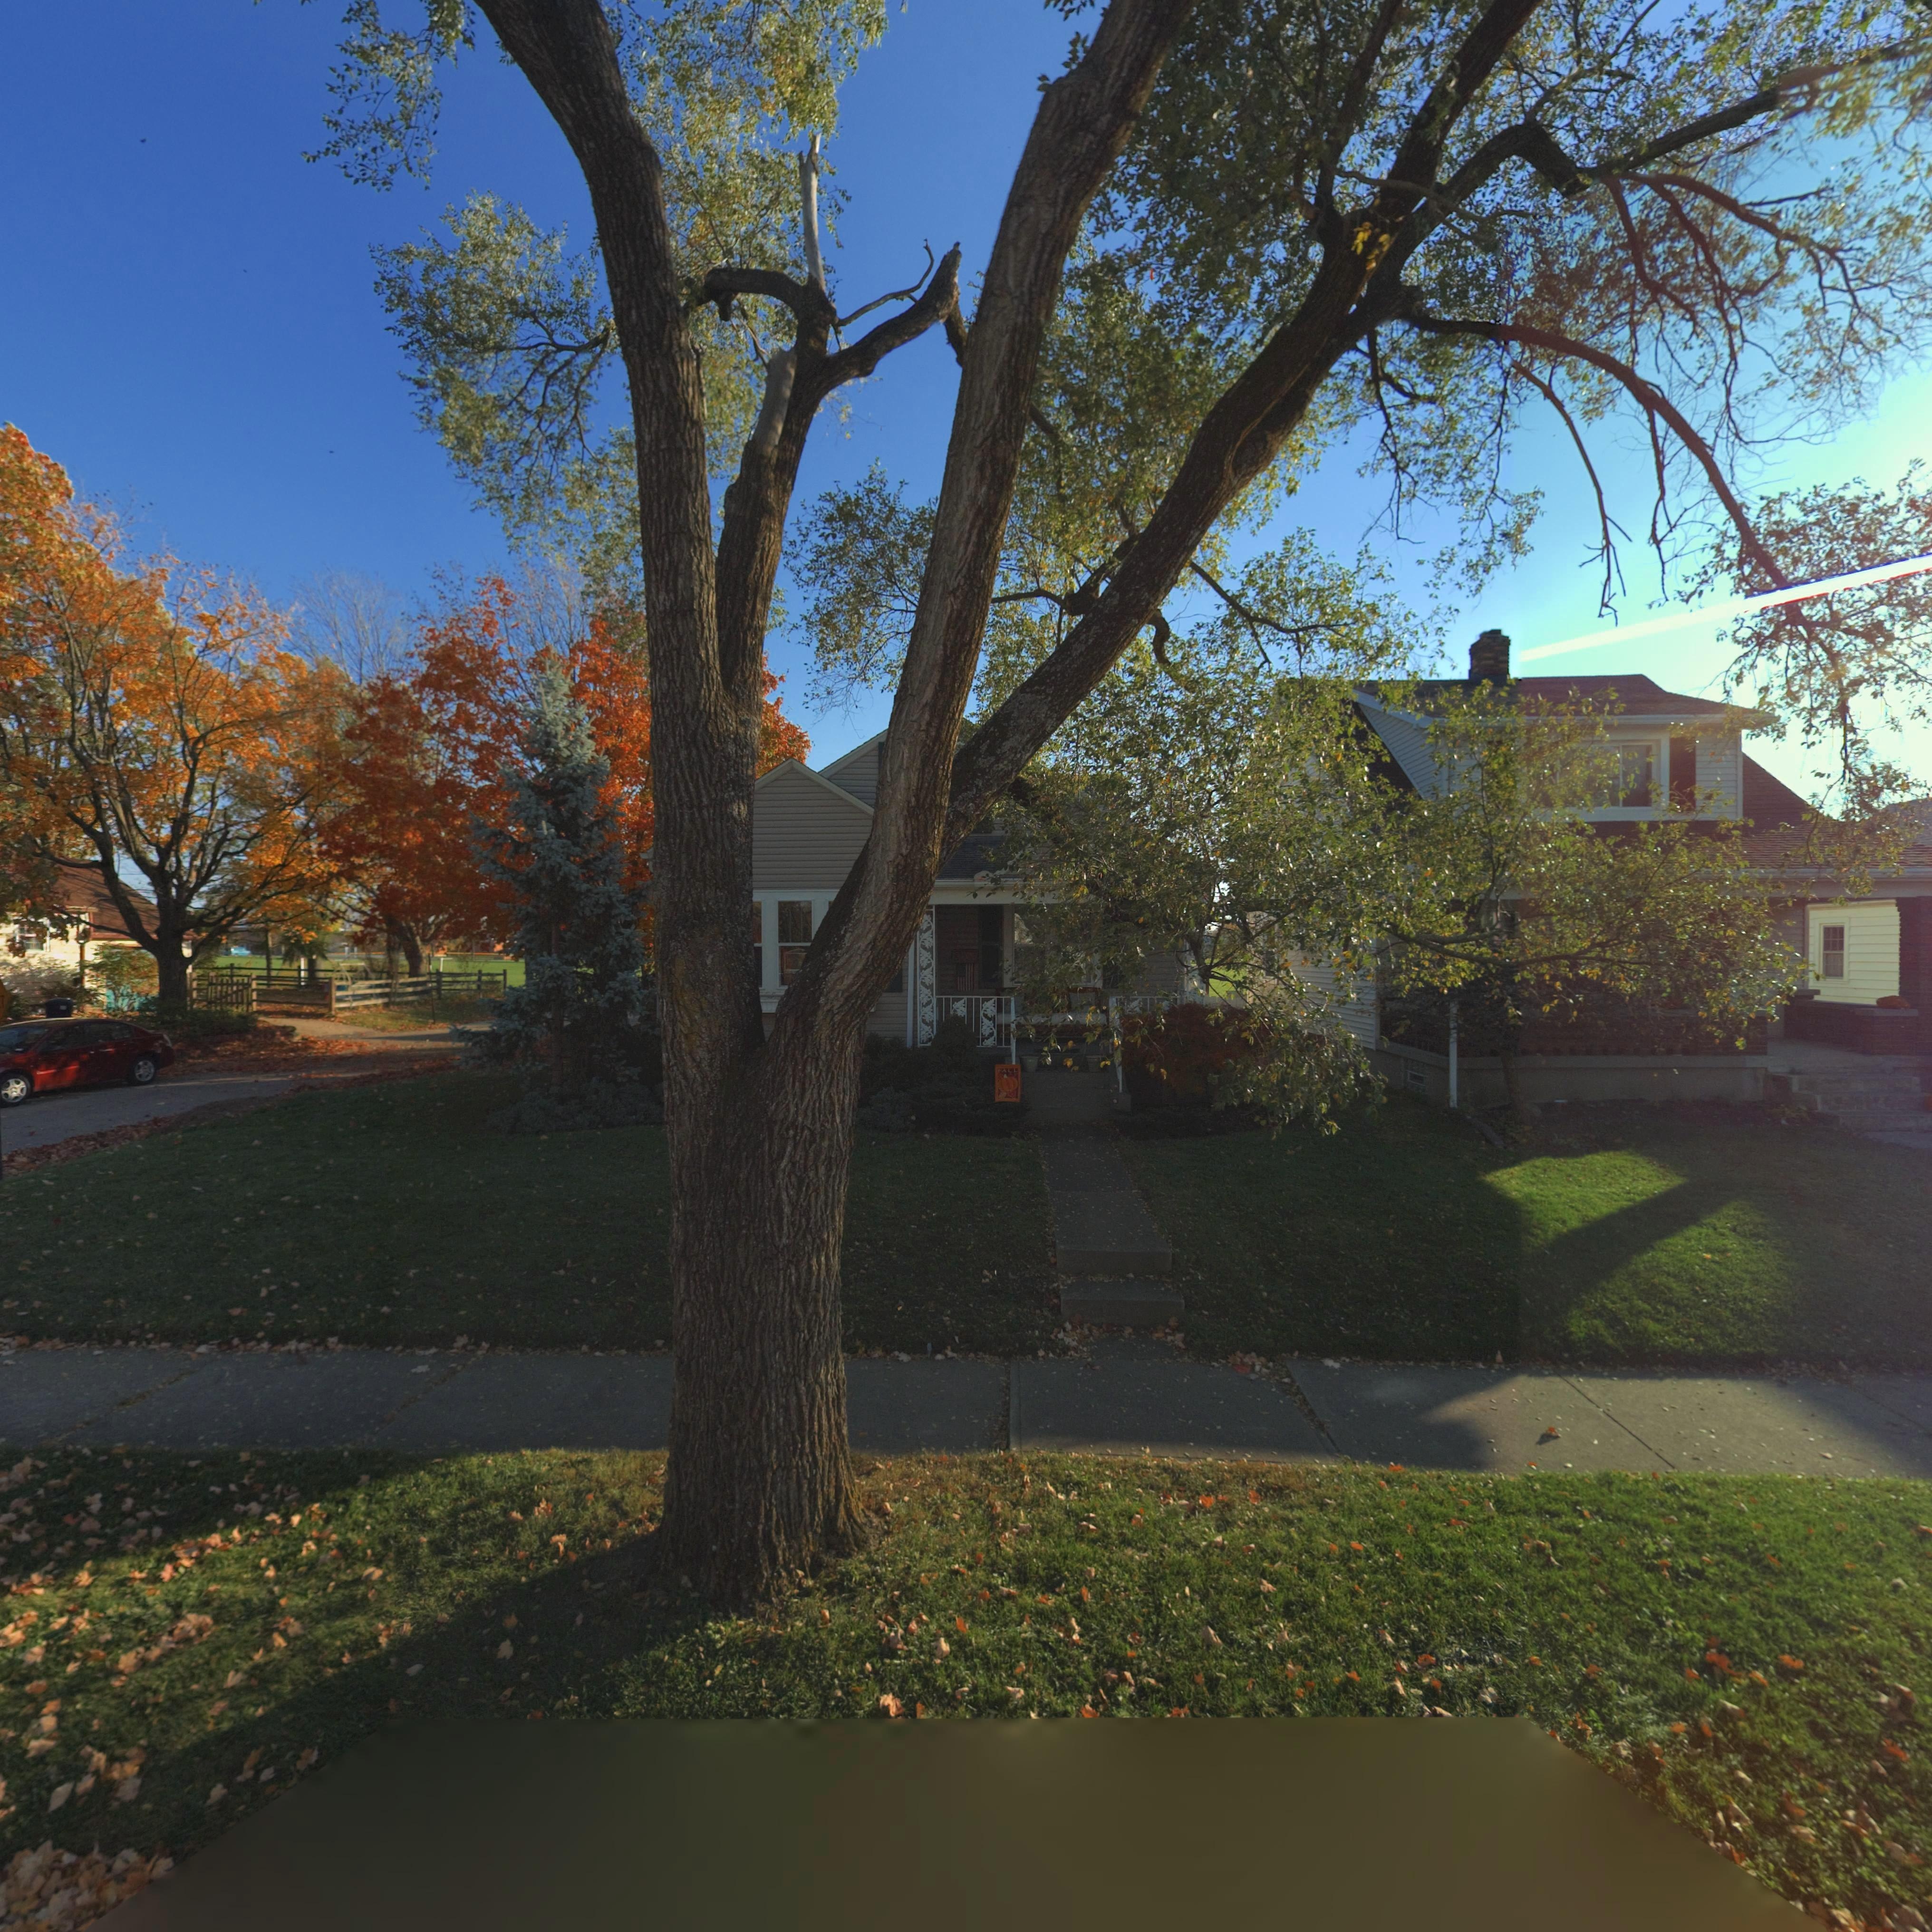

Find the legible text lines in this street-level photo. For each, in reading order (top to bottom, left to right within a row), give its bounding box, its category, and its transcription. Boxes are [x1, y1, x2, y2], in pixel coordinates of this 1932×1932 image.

[1052, 892, 1057, 900] StreetNumber: 2